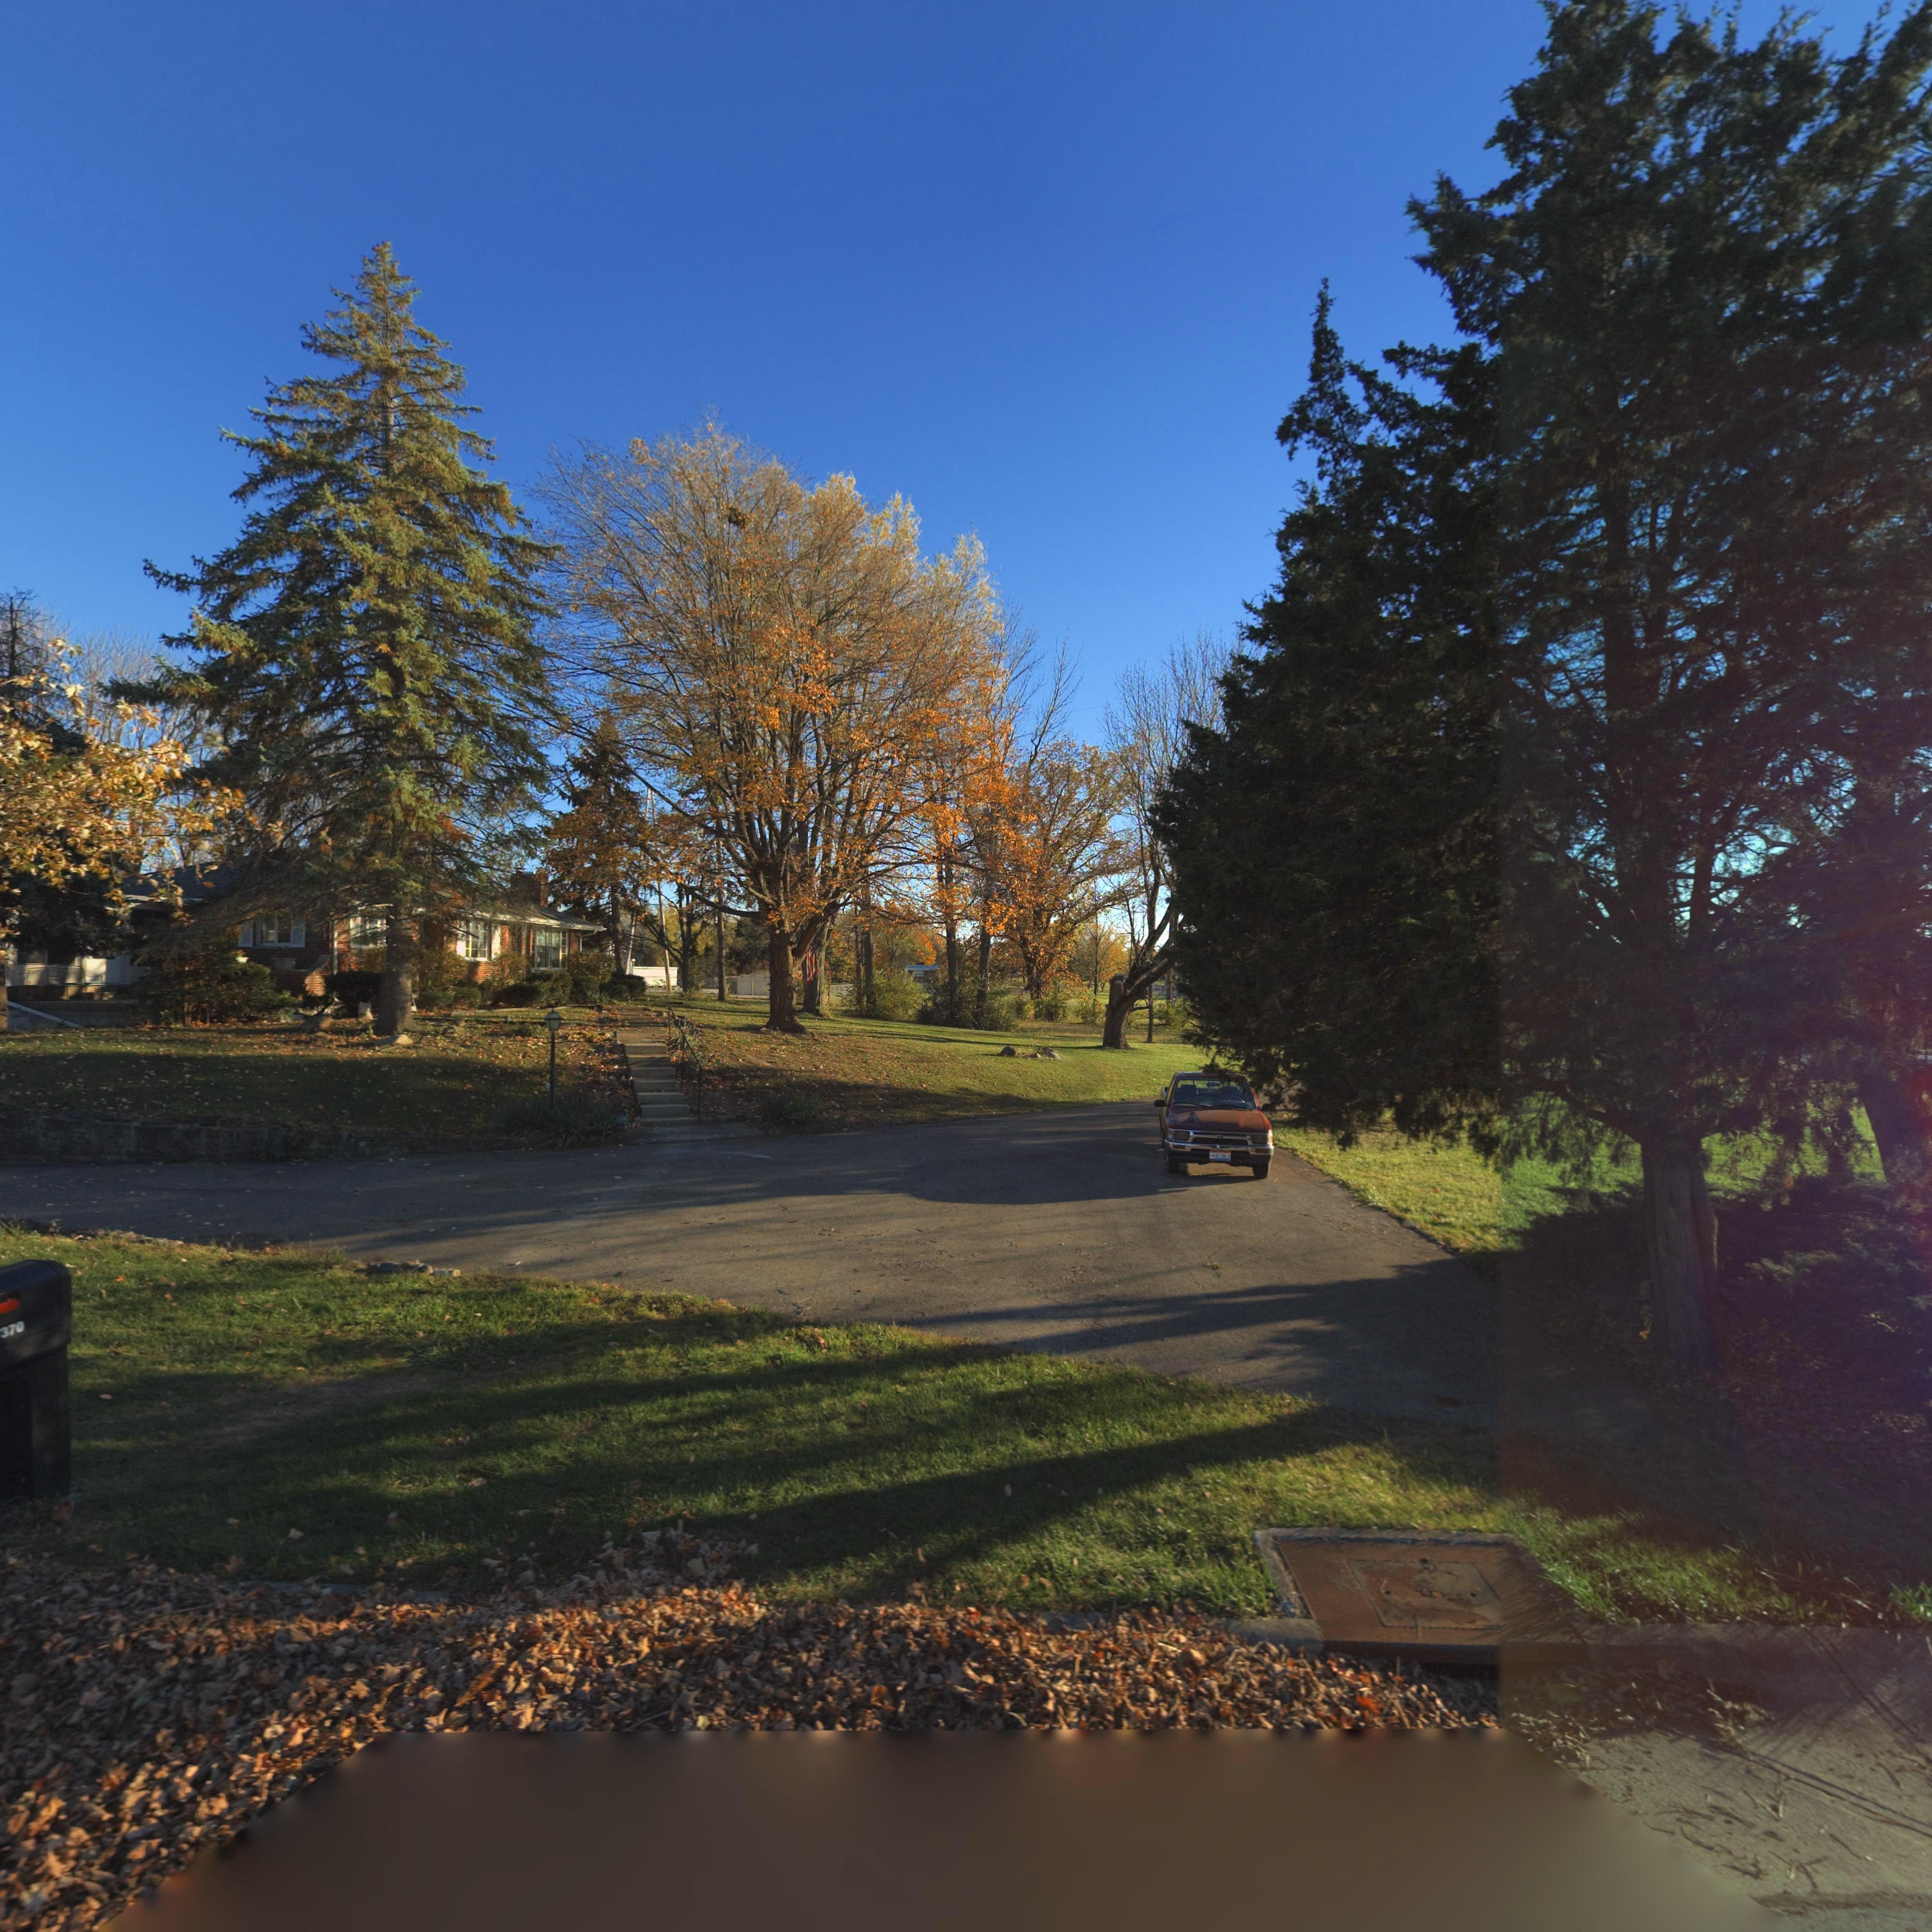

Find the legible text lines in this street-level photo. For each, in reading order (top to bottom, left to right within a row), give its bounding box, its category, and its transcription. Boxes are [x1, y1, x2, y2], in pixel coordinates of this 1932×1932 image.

[0, 1319, 26, 1339] StreetNumber: 370